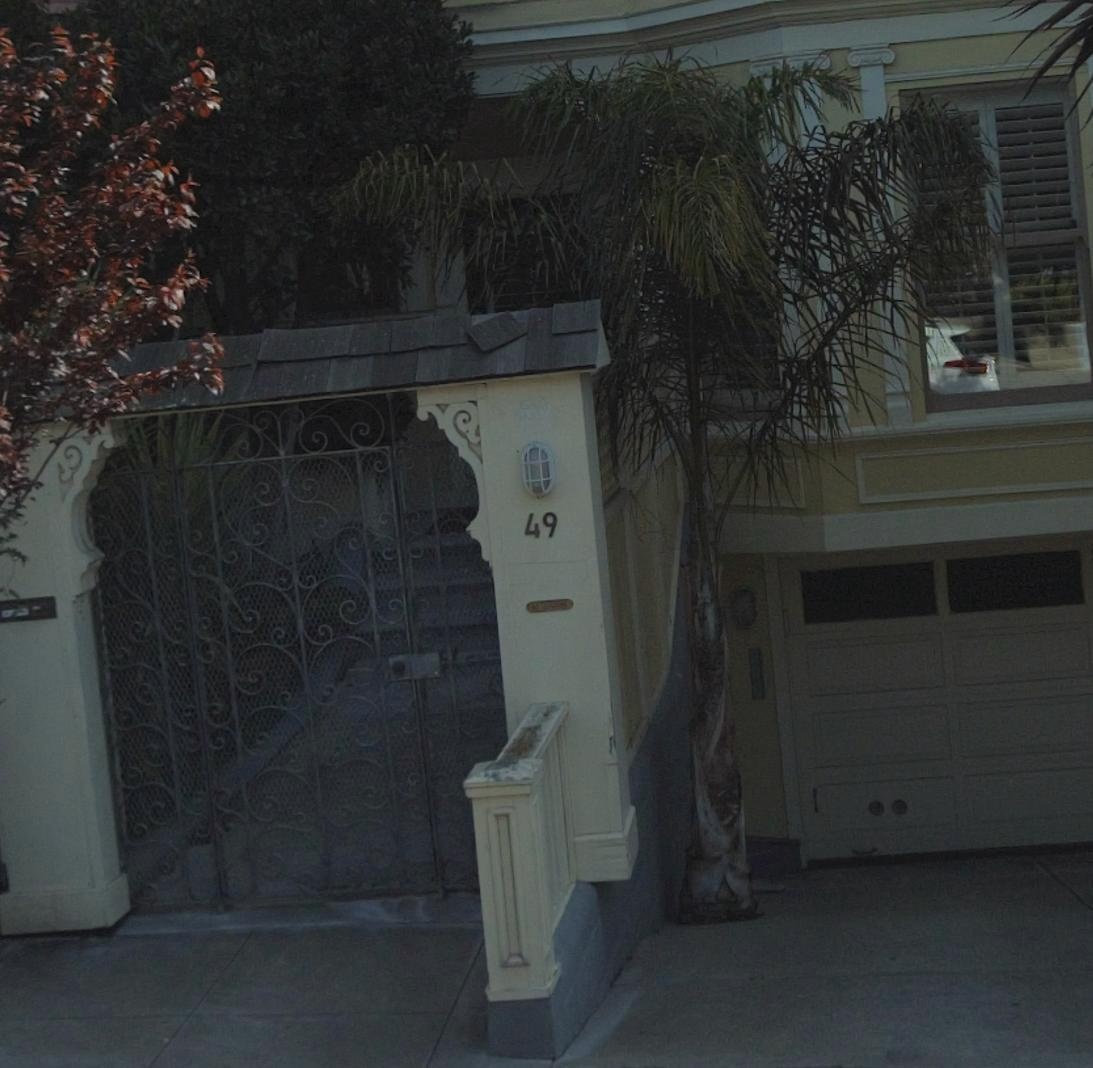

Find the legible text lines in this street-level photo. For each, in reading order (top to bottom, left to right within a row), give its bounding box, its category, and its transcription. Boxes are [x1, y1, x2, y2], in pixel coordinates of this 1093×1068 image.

[522, 509, 561, 542] StreetNumber: 49